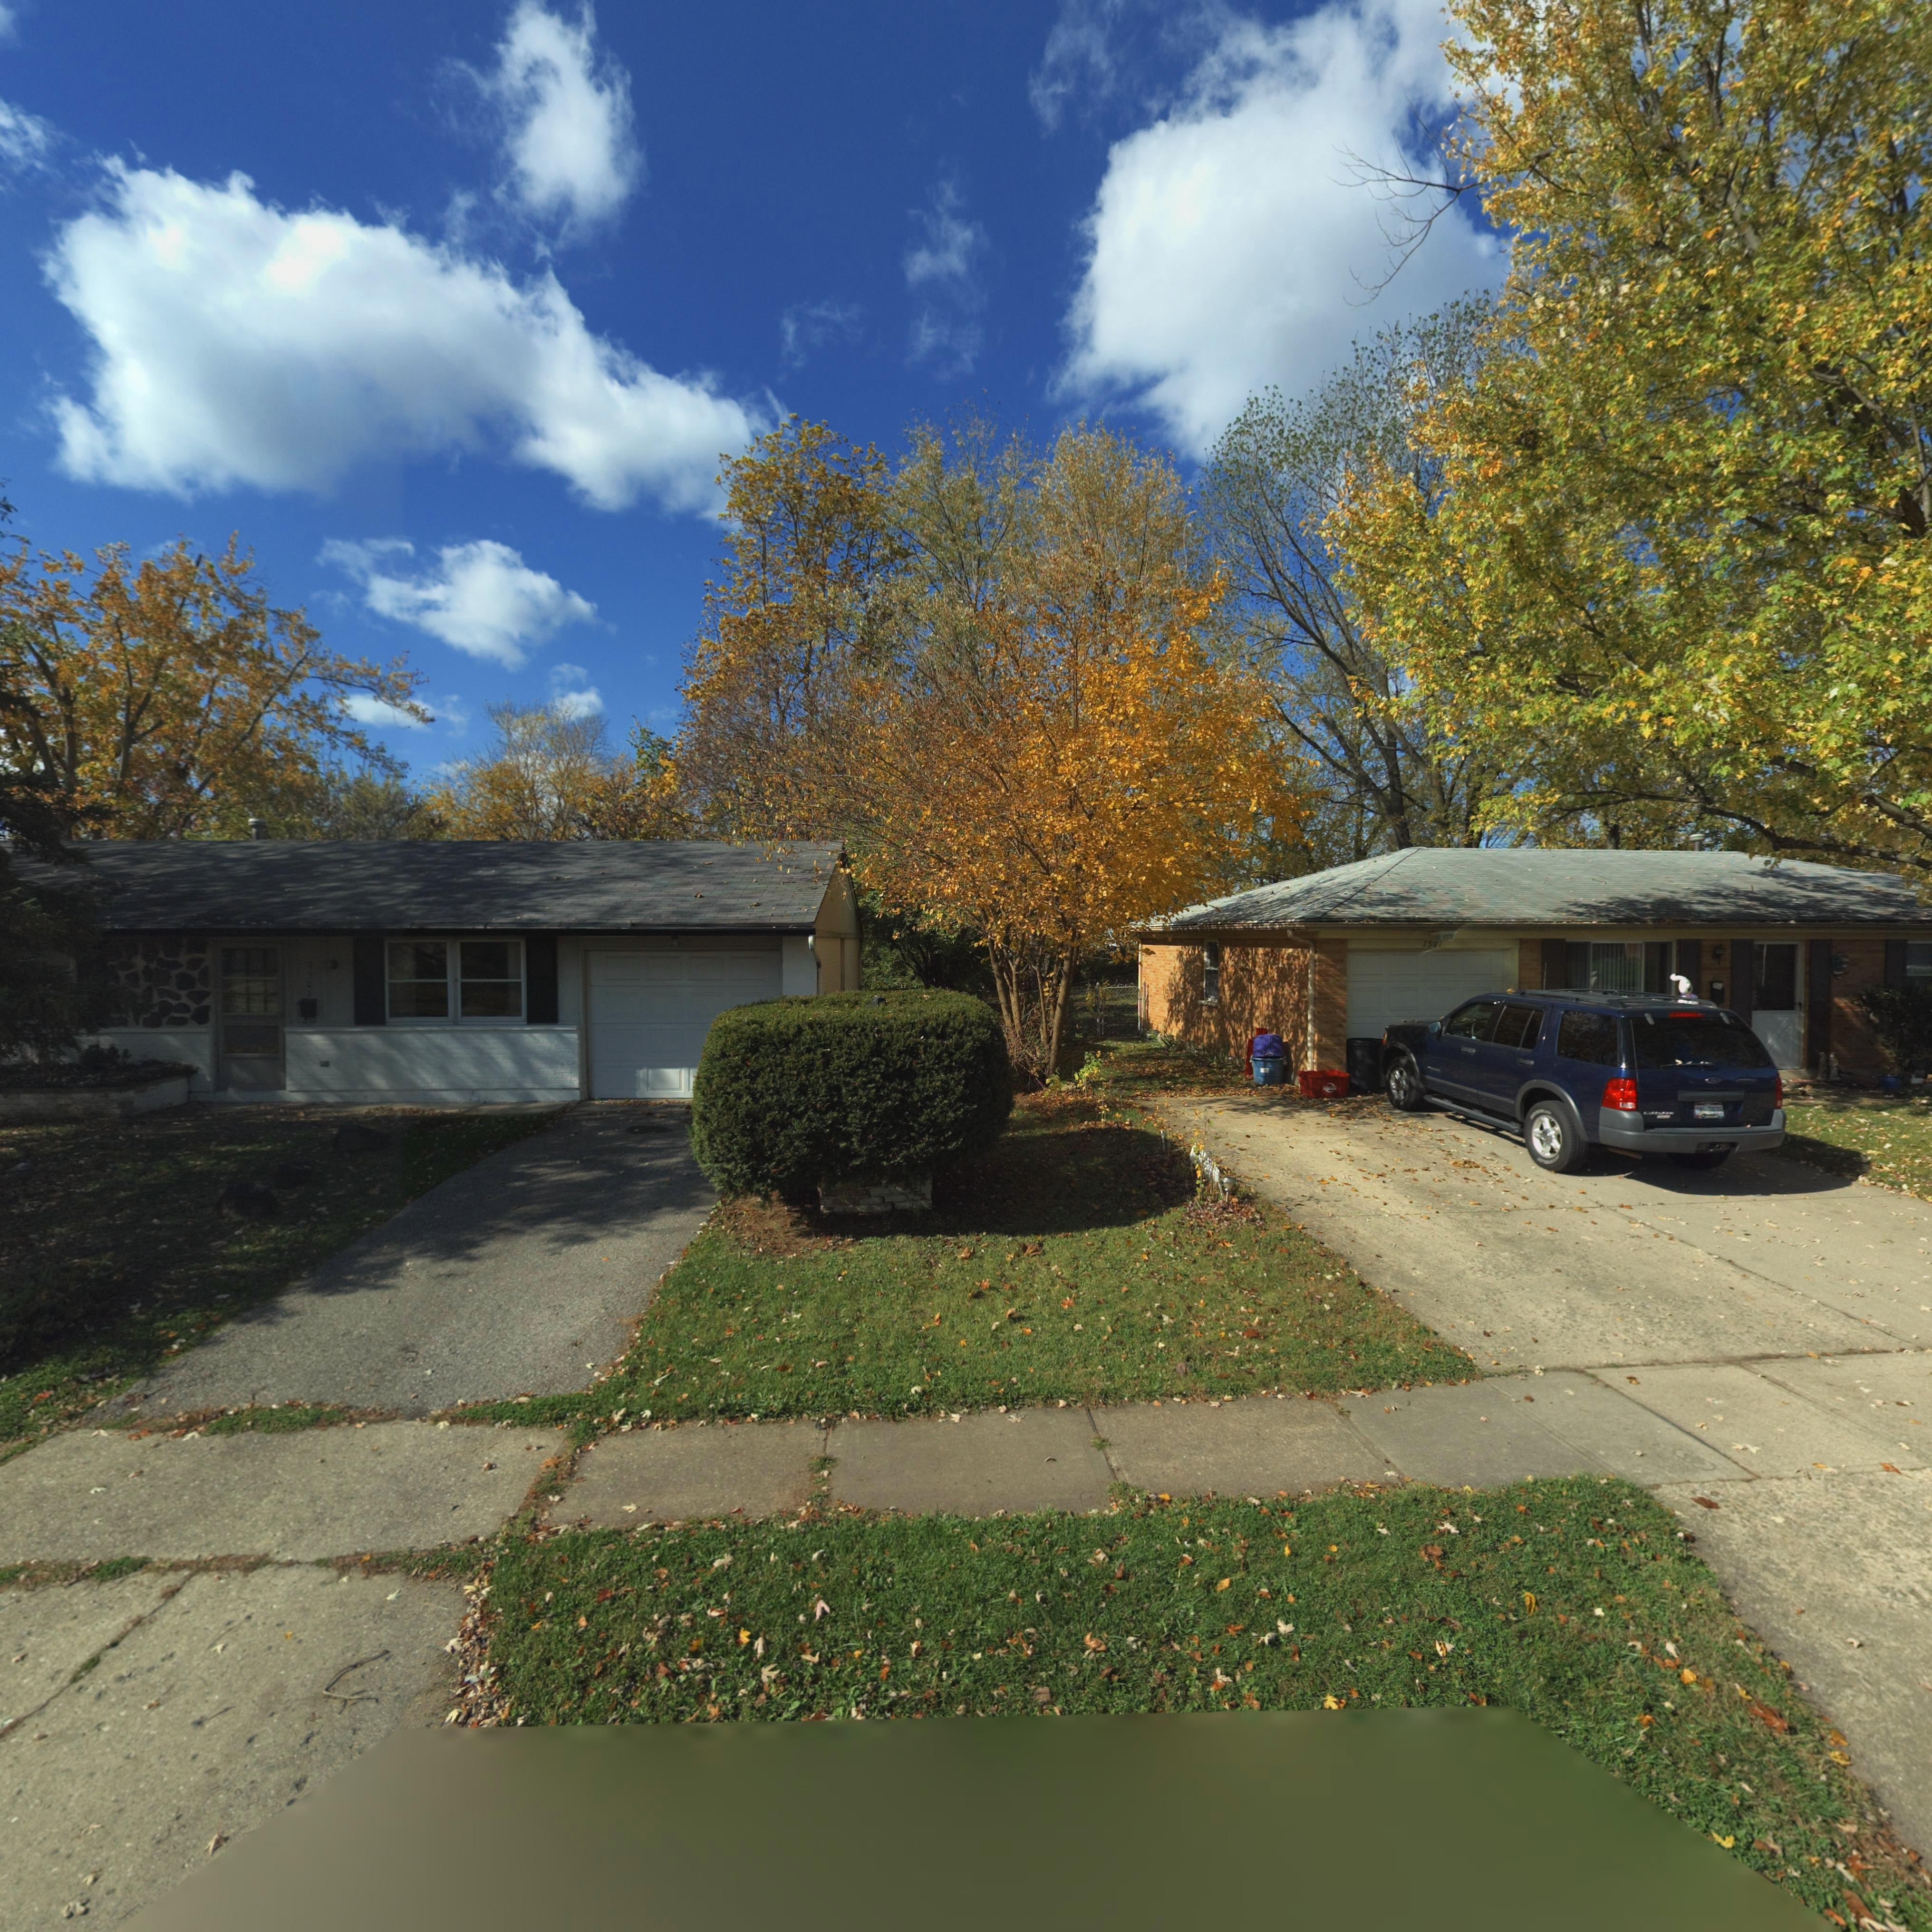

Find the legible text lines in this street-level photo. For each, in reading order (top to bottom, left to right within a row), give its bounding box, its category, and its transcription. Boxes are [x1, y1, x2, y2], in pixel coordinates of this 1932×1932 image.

[1422, 940, 1443, 947] StreetNumber: 7507
[305, 960, 313, 997] StreetNumber: 7501